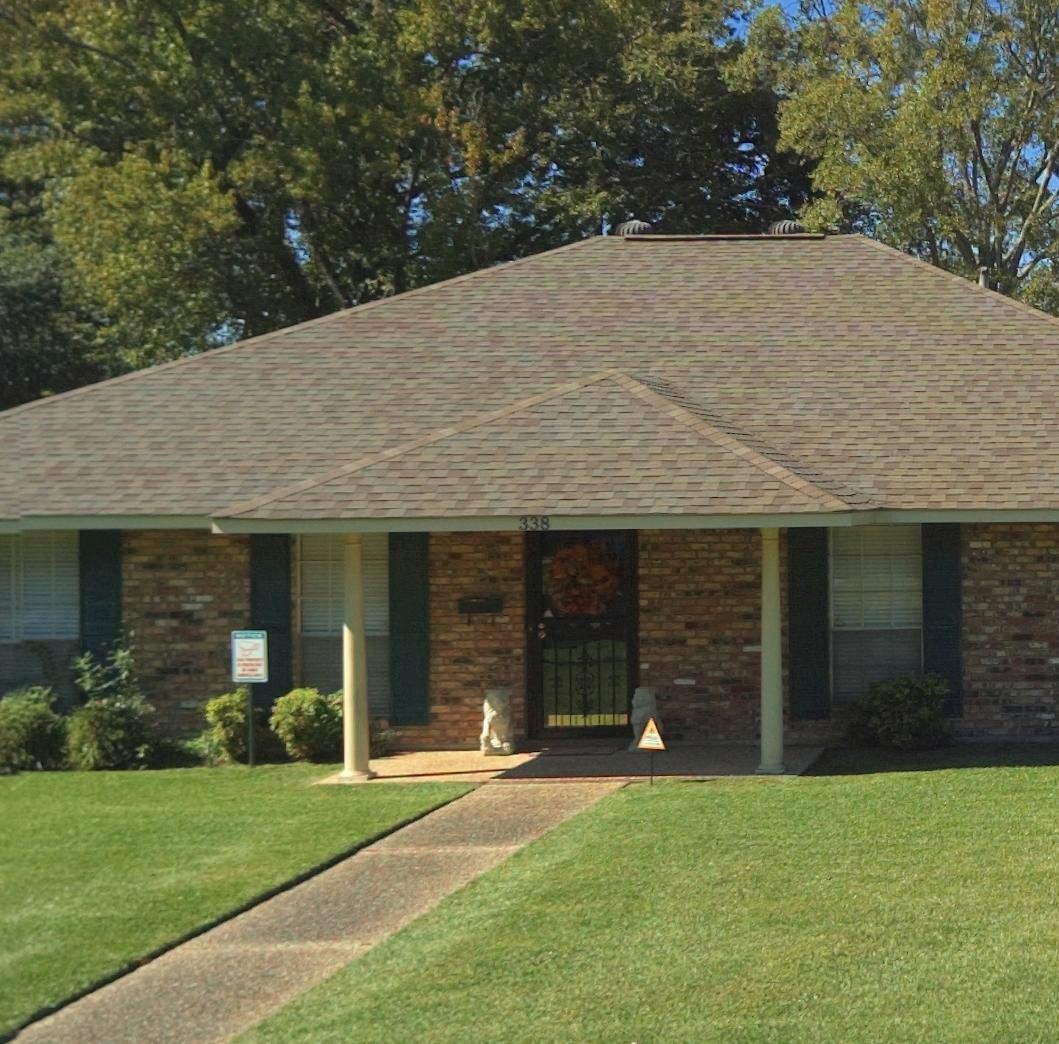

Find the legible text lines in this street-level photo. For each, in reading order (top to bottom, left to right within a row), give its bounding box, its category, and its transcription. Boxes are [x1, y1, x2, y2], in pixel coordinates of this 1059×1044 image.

[517, 514, 552, 533] StreetNumber: 338